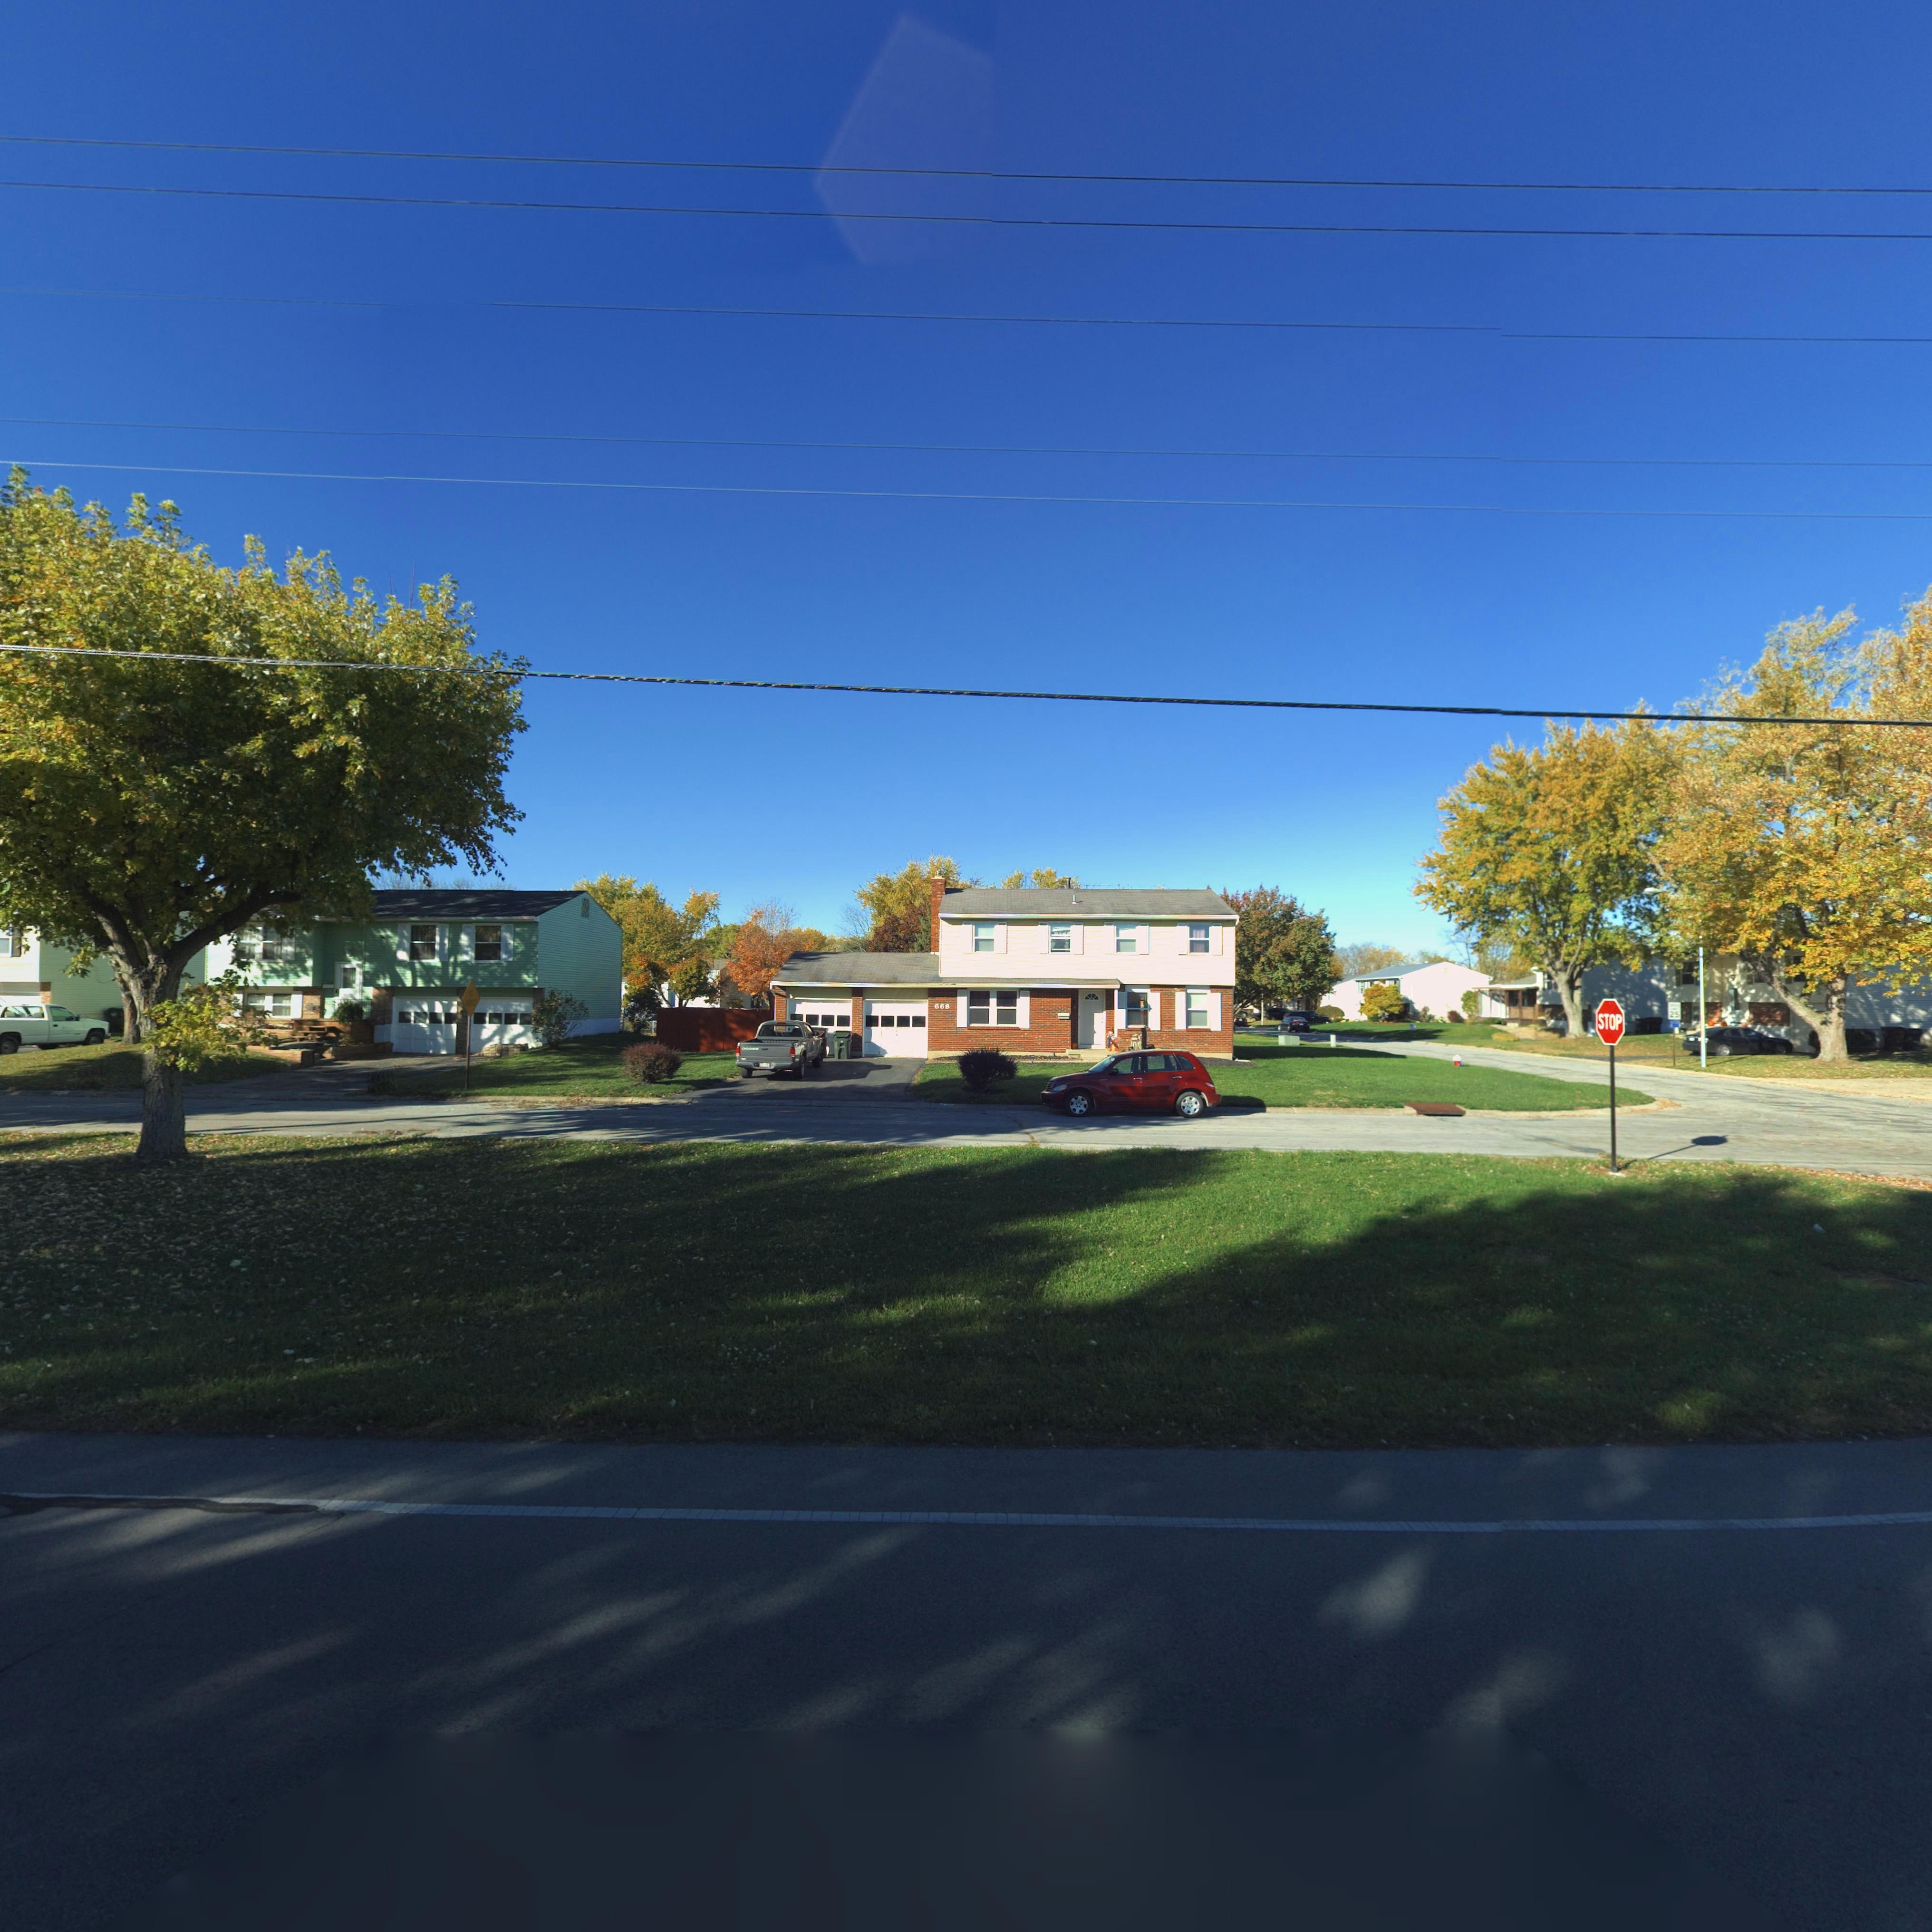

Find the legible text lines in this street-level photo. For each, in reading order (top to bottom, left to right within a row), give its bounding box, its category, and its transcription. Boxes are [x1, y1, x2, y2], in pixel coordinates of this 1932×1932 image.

[934, 1004, 950, 1009] StreetNumber: 668
[1669, 1011, 1680, 1019] None: 25
[1597, 1013, 1623, 1032] None: STOP